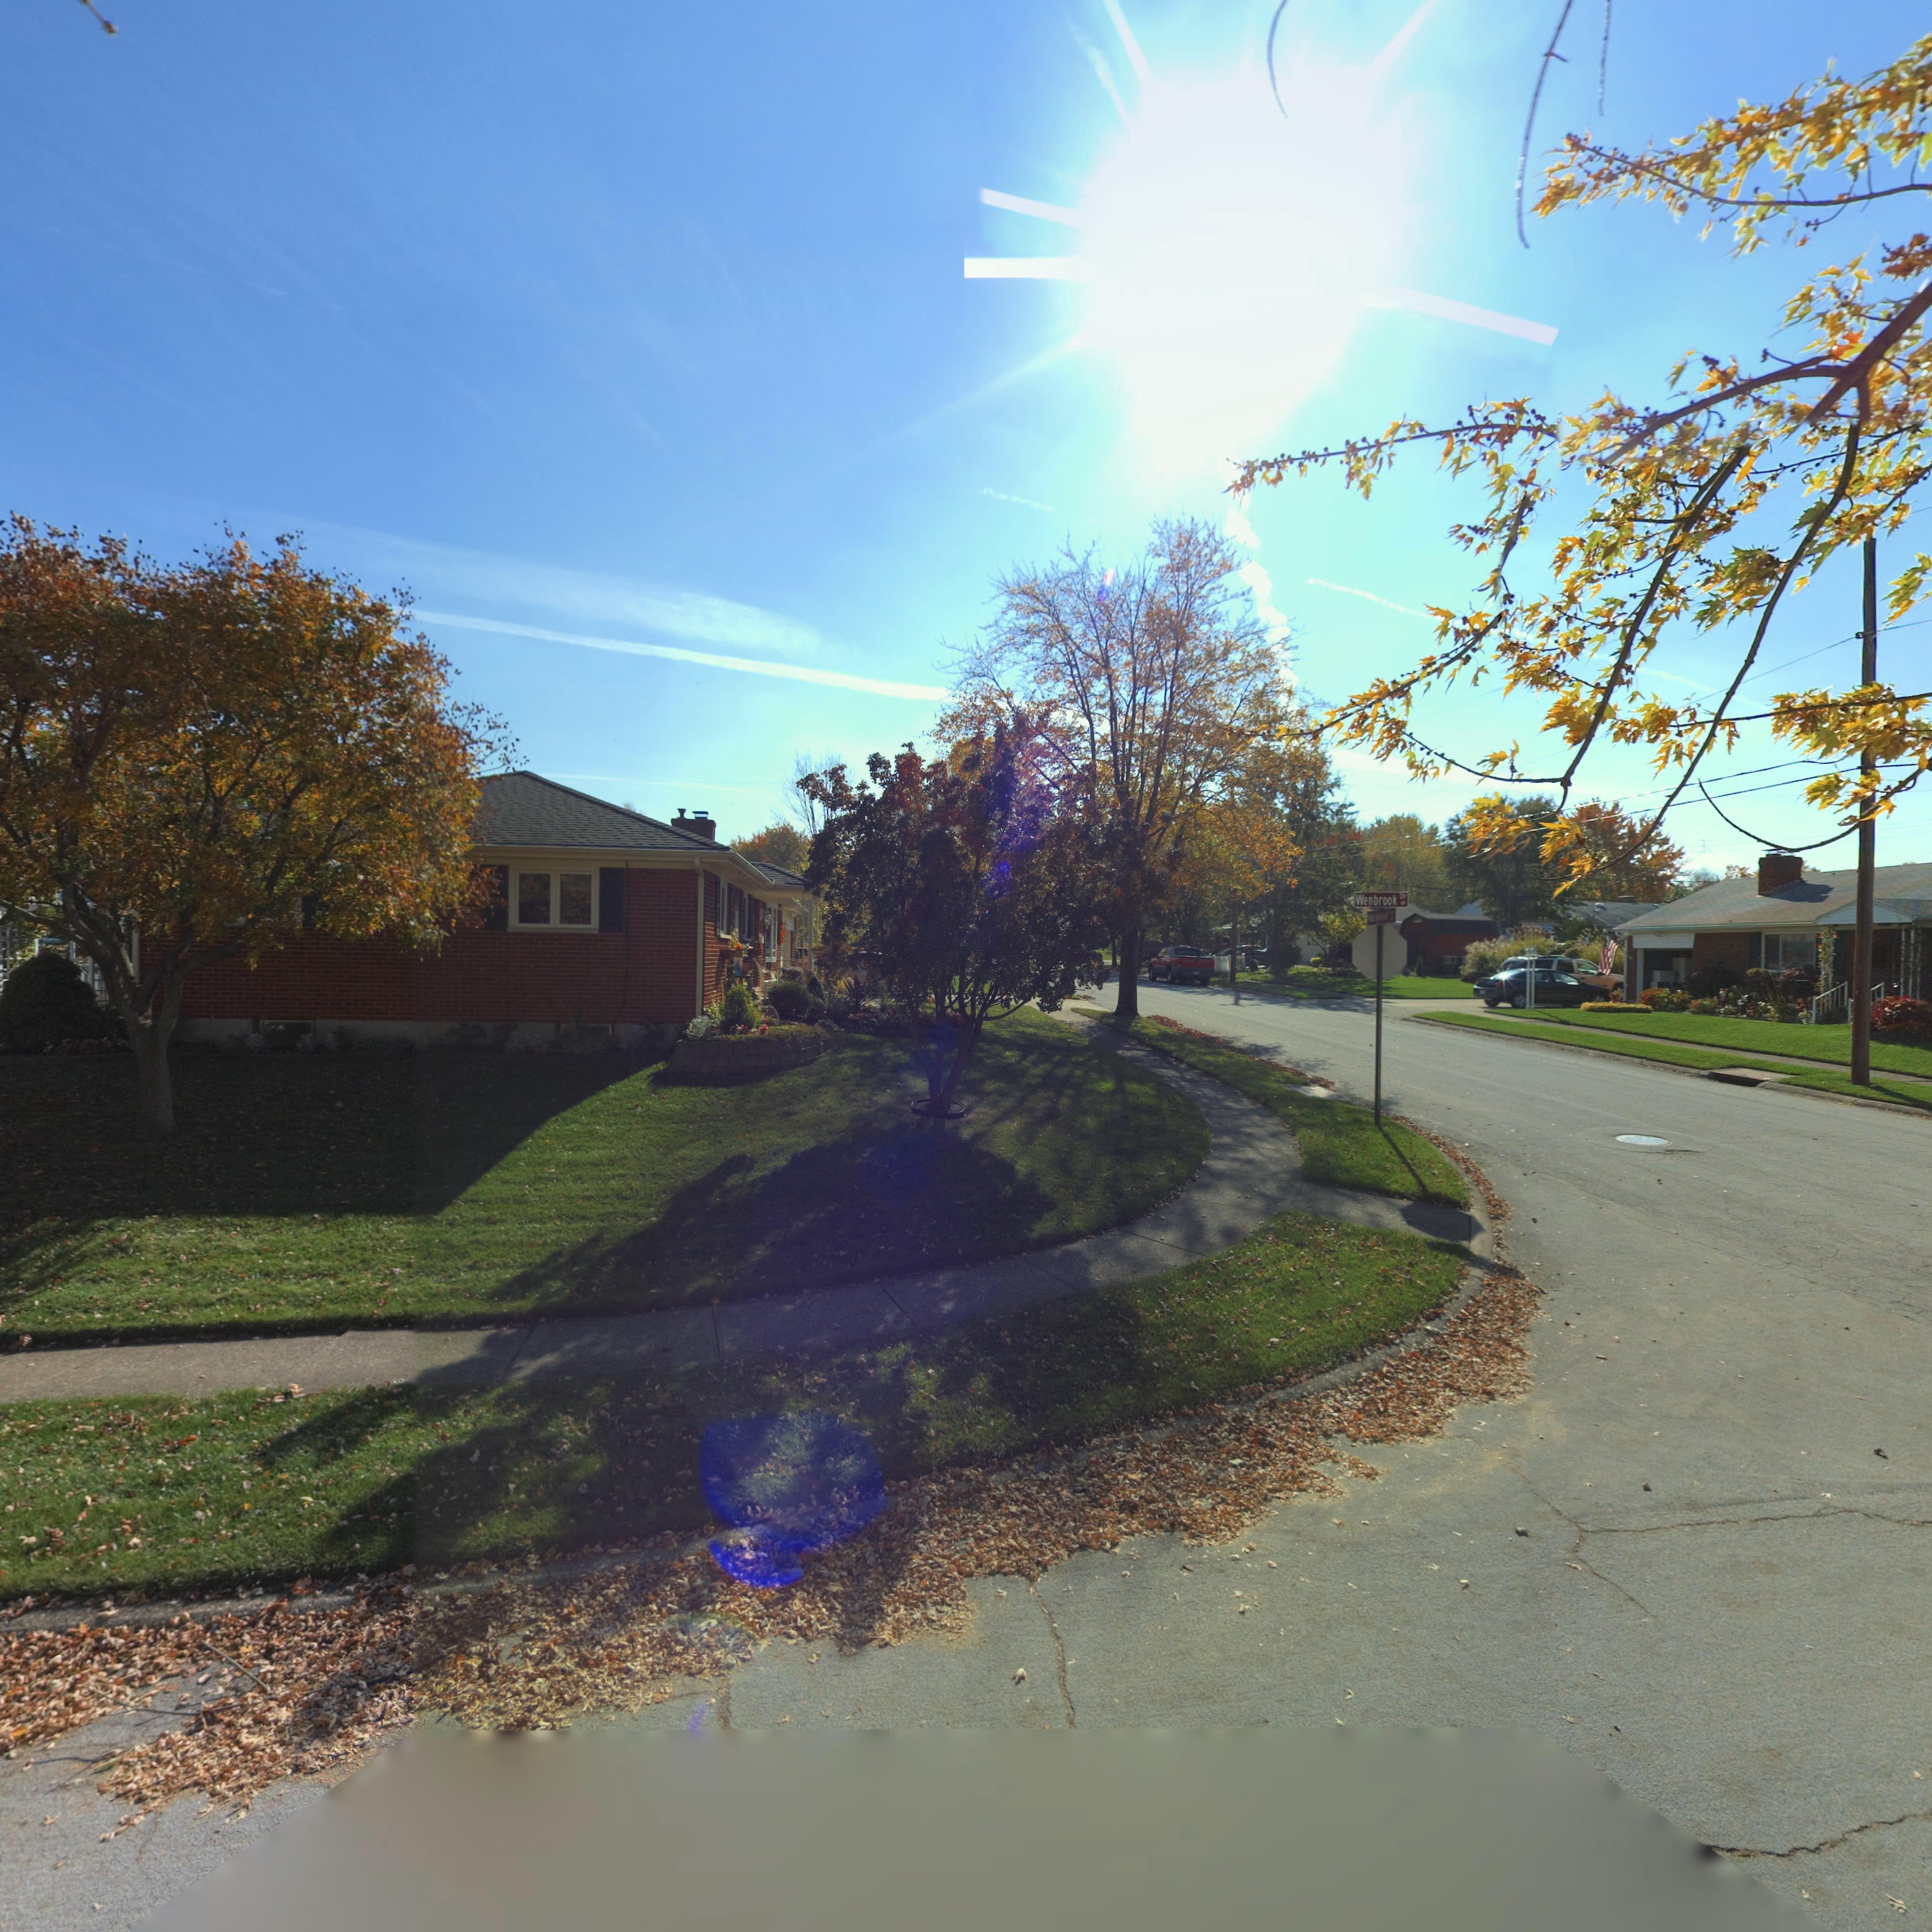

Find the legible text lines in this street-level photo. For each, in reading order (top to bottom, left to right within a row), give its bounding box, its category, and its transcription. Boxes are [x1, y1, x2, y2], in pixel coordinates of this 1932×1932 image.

[1355, 893, 1407, 906] StreetName: Wenbrook Dr